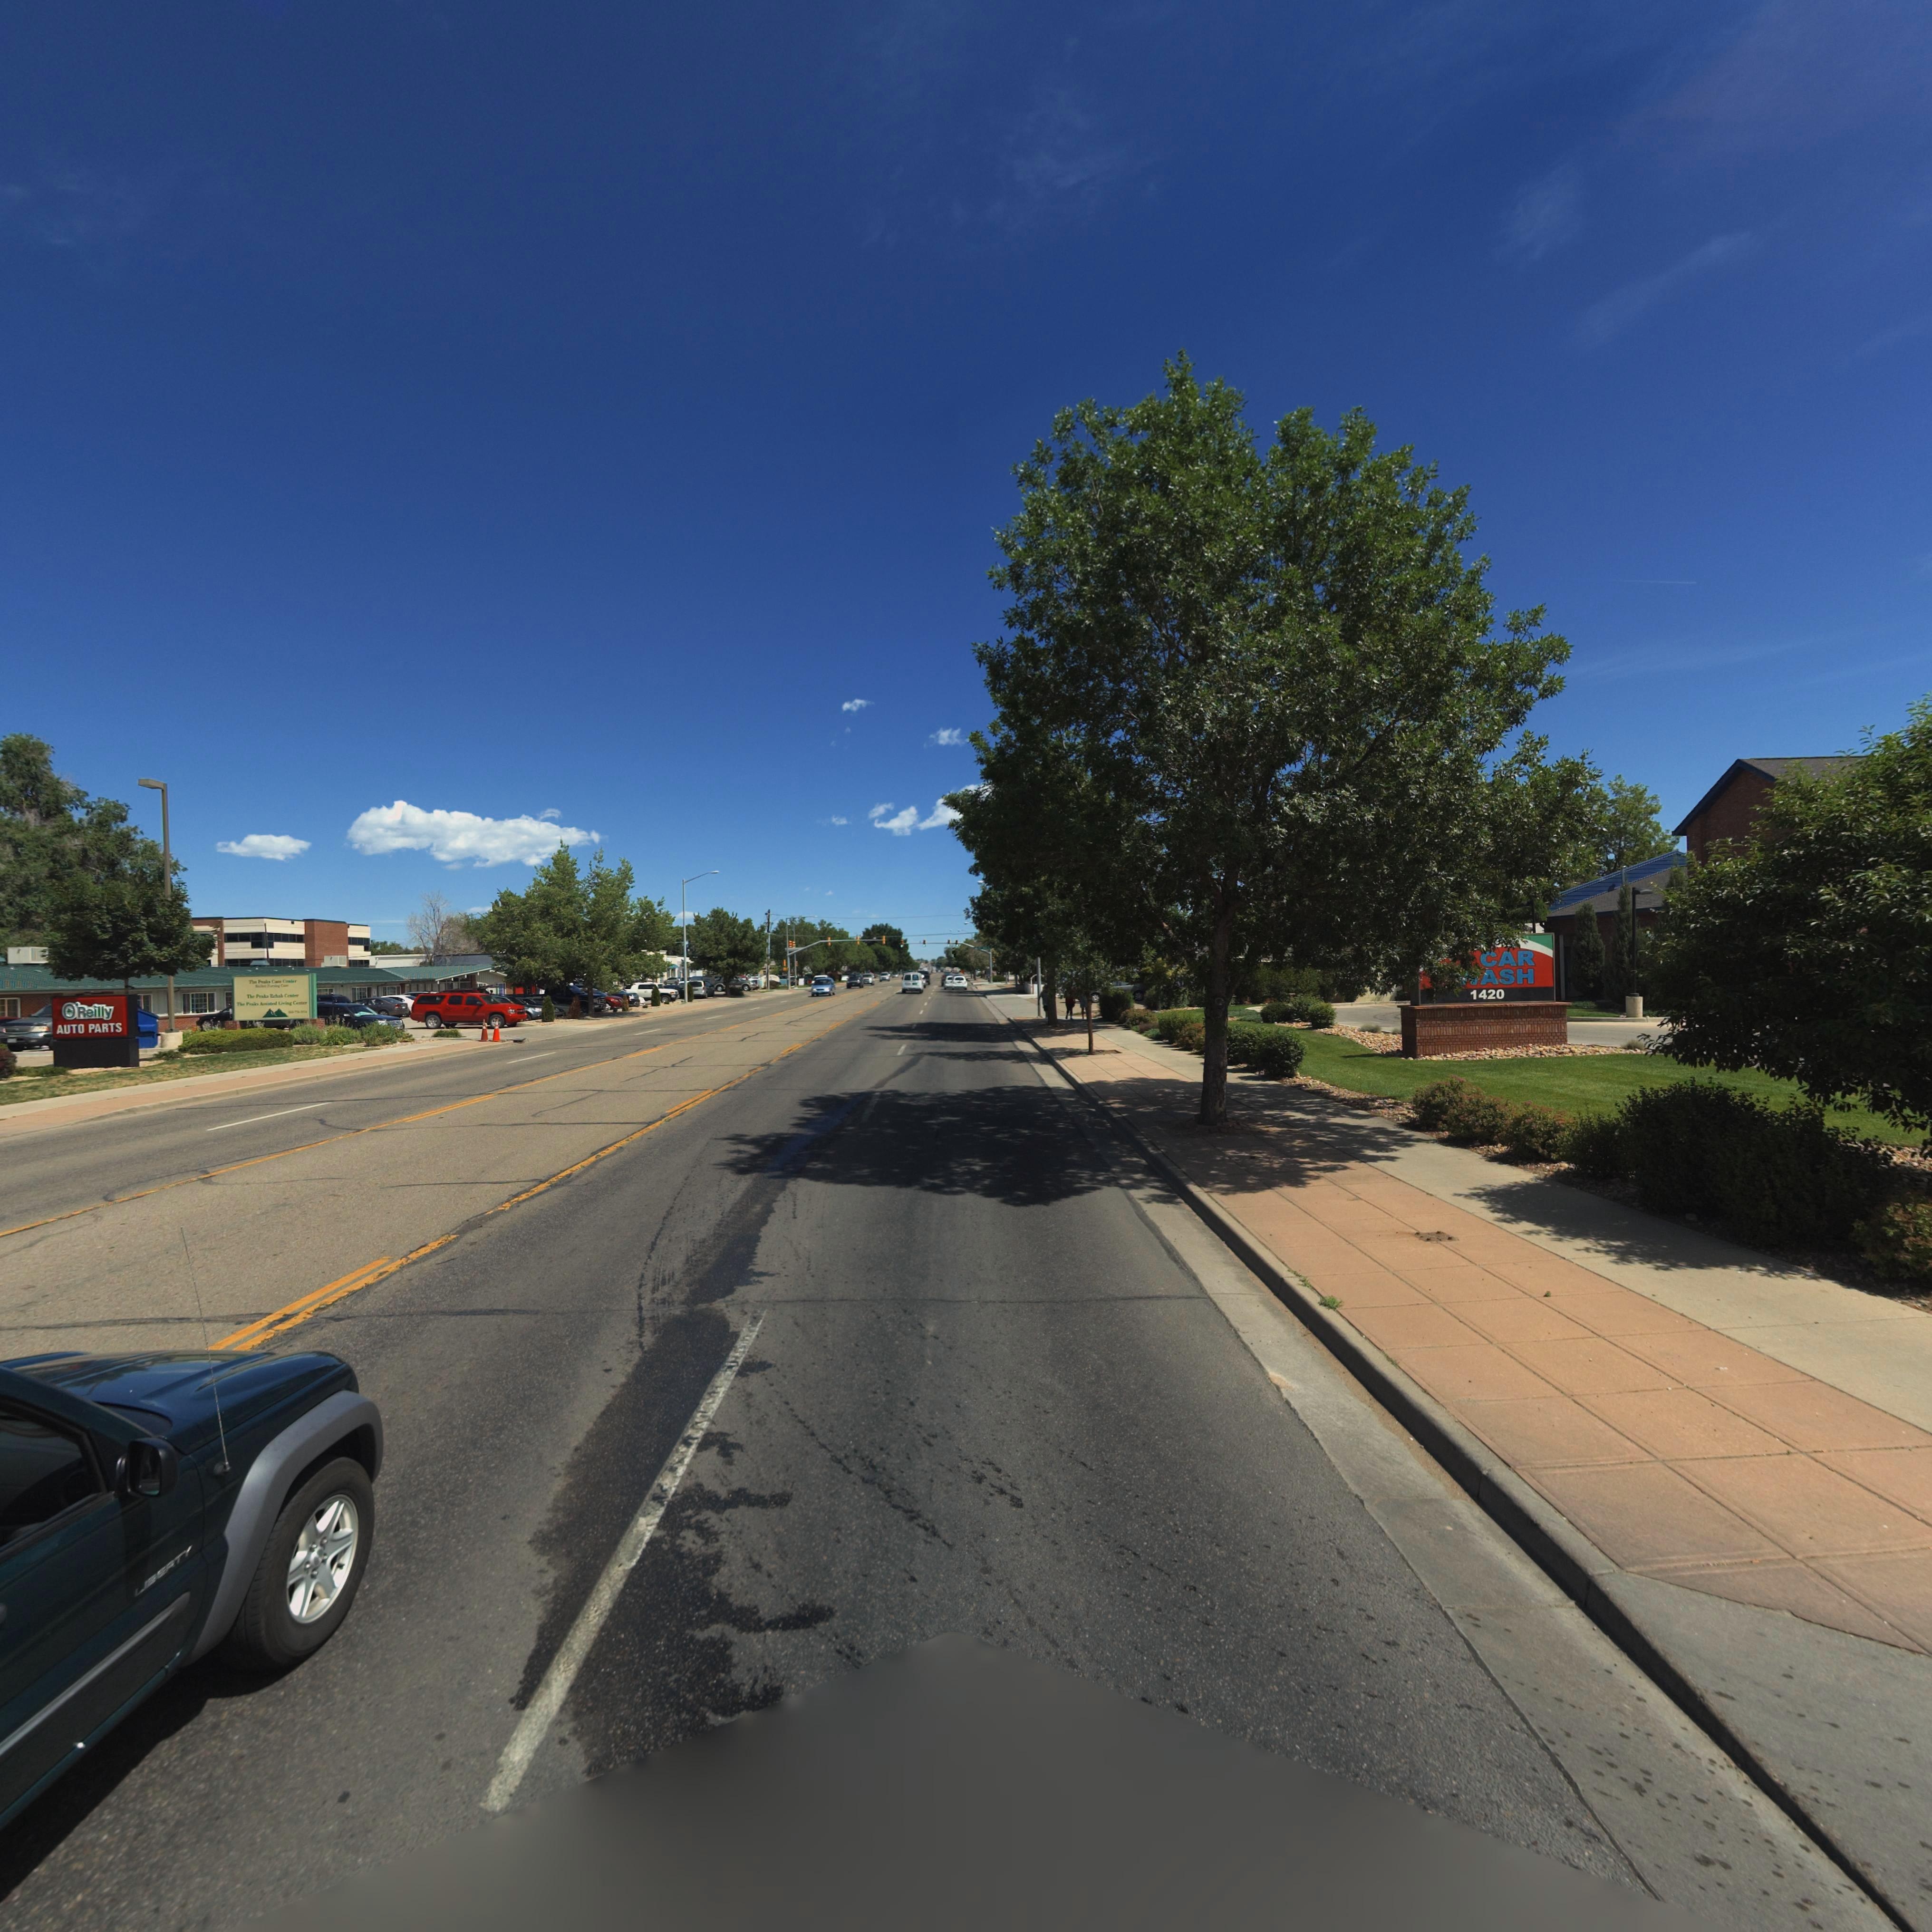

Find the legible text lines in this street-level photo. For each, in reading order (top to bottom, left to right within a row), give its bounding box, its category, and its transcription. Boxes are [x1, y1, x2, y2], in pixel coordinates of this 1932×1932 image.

[1479, 949, 1536, 967] BusinessName: CAR
[1479, 967, 1535, 985] BusinessName: ASH
[1469, 988, 1505, 1000] StreetNumber: 1420
[62, 1002, 112, 1020] BusinessName: *'Reilly
[56, 1022, 122, 1034] BusinessName: AUTO PARTS